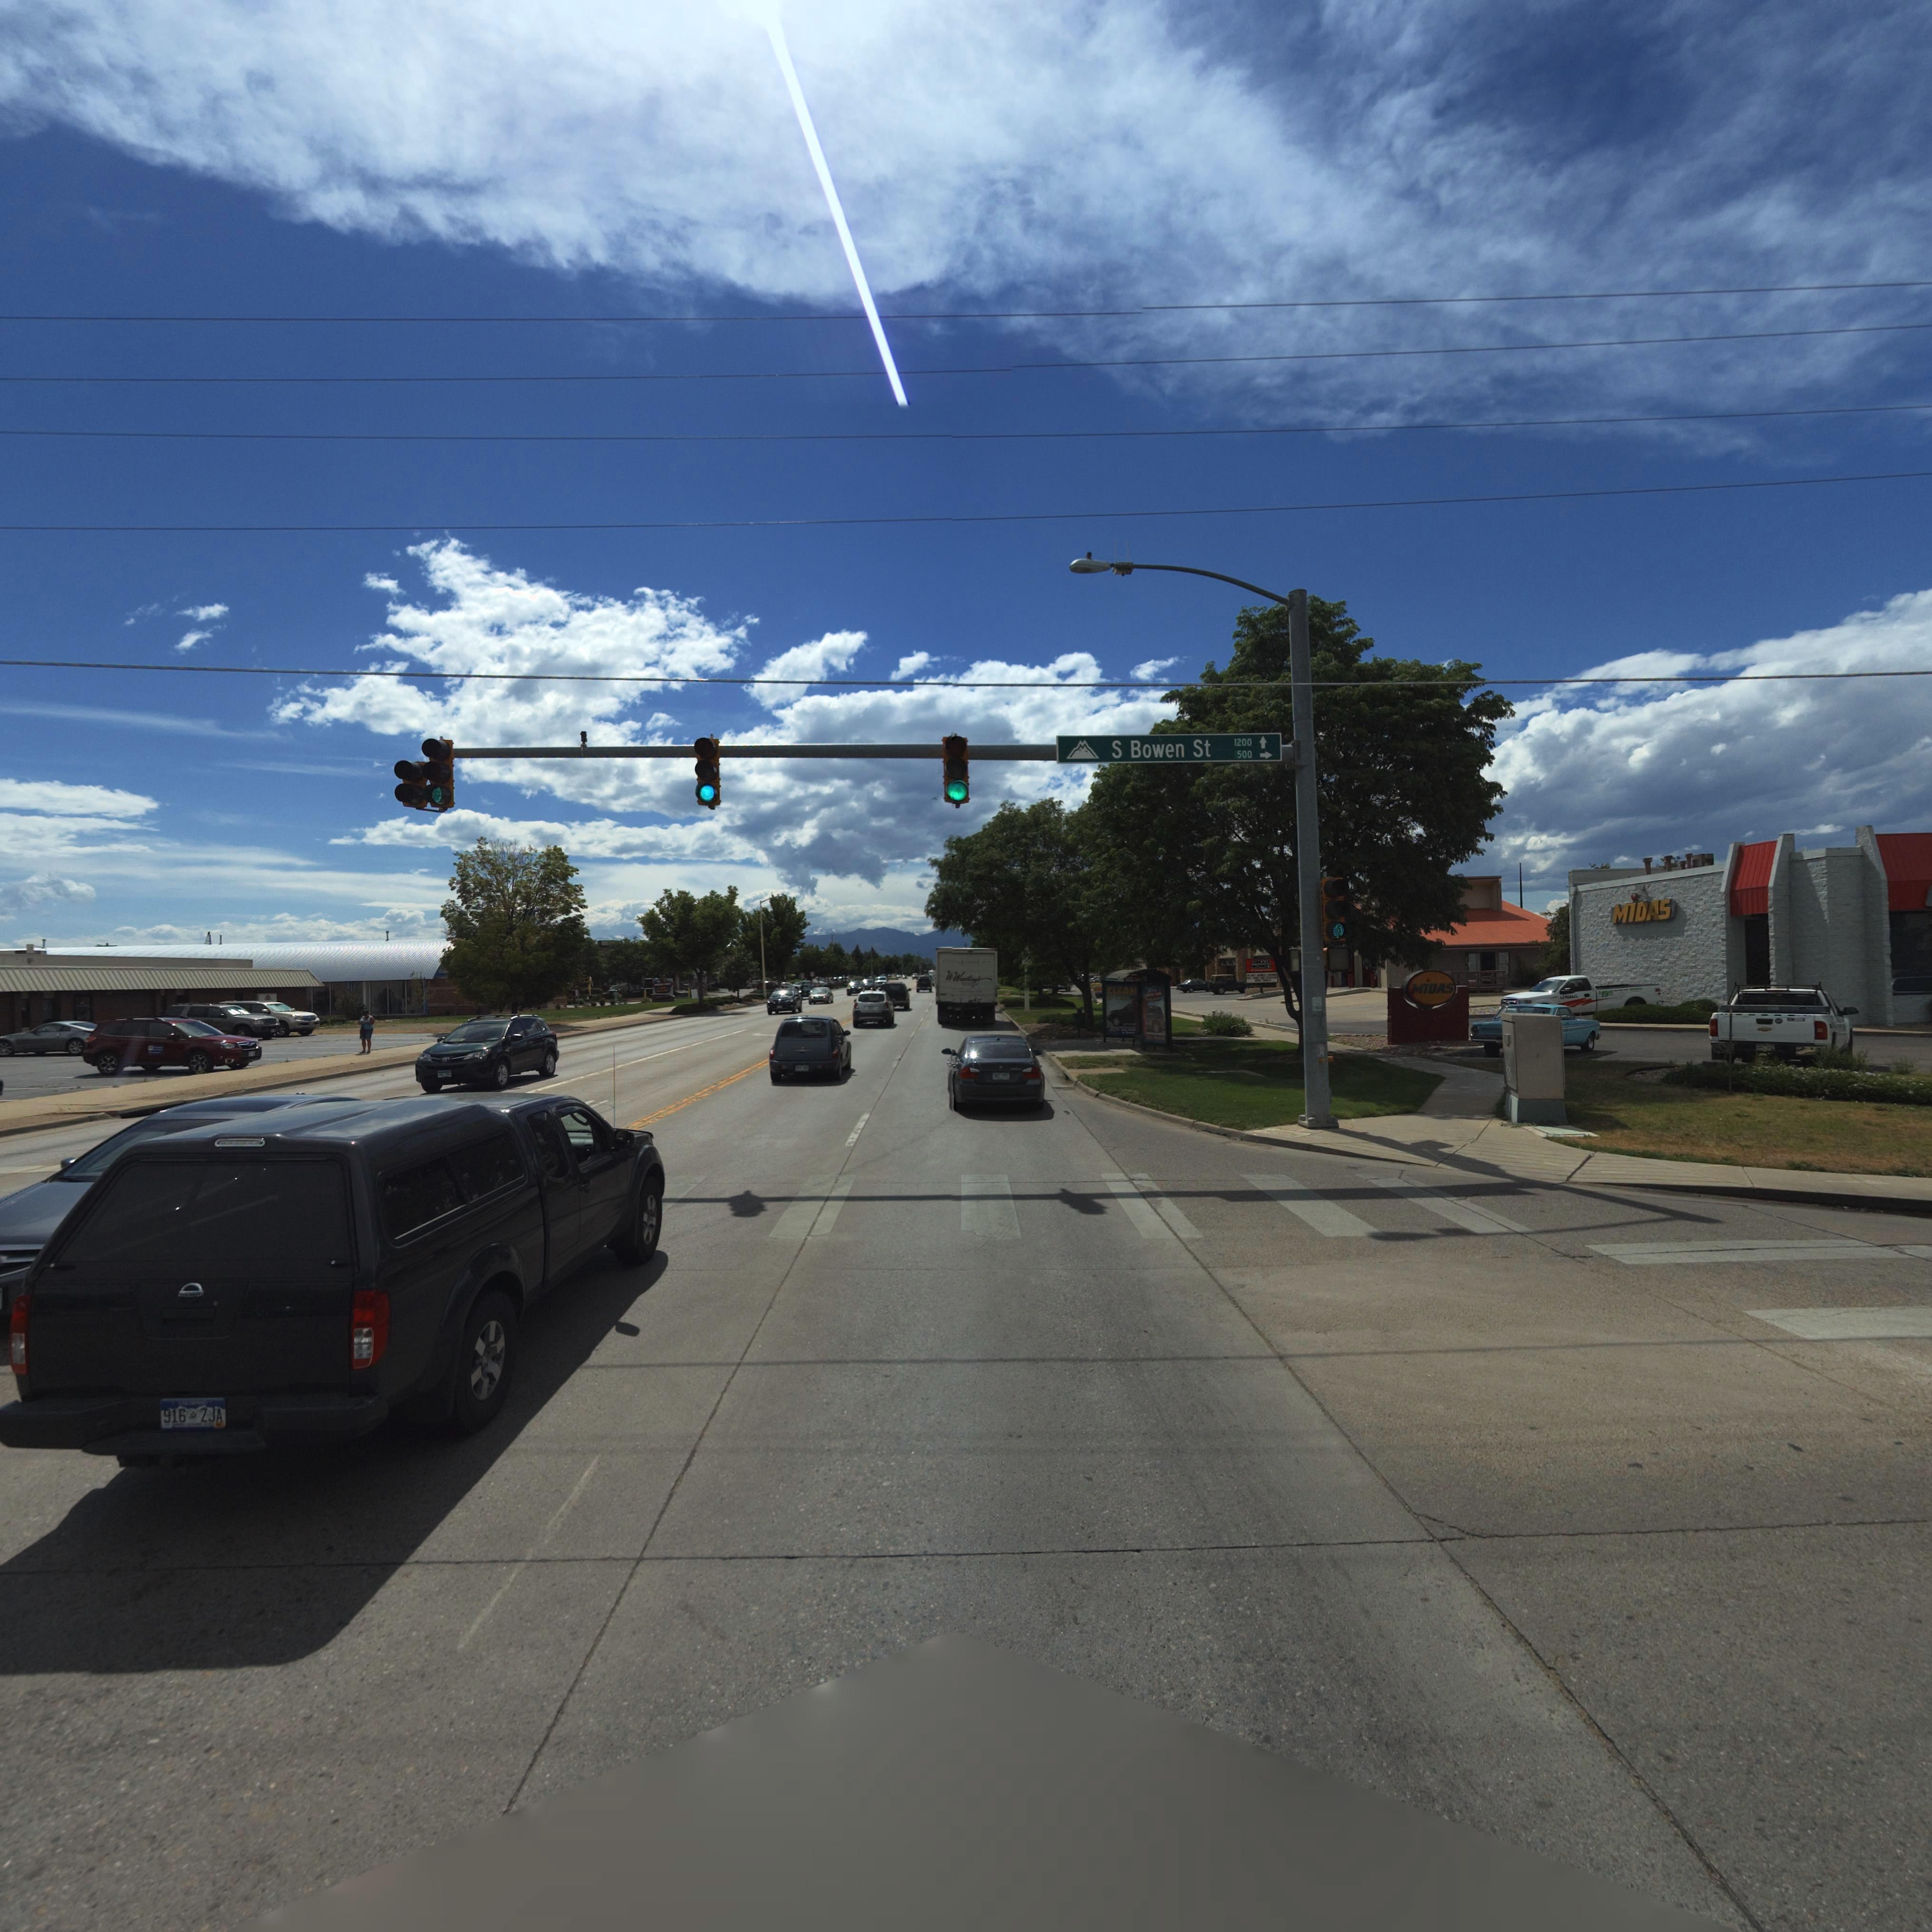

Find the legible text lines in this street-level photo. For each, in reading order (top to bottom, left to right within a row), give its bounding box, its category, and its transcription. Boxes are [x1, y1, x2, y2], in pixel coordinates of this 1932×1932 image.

[1234, 738, 1252, 746] StreetNumberRange: 1200
[1111, 738, 1211, 759] StreetName: S Bowen St
[1236, 749, 1273, 759] StreetNumberRange: 500 ->
[1612, 892, 1671, 925] BusinessName: MiDAS
[1252, 959, 1270, 964] BusinessName: GREASE
[1251, 964, 1271, 968] BusinessName: MONKEY
[658, 985, 666, 990] BusinessName: *A*
[1410, 978, 1454, 994] BusinessName: MiDAS